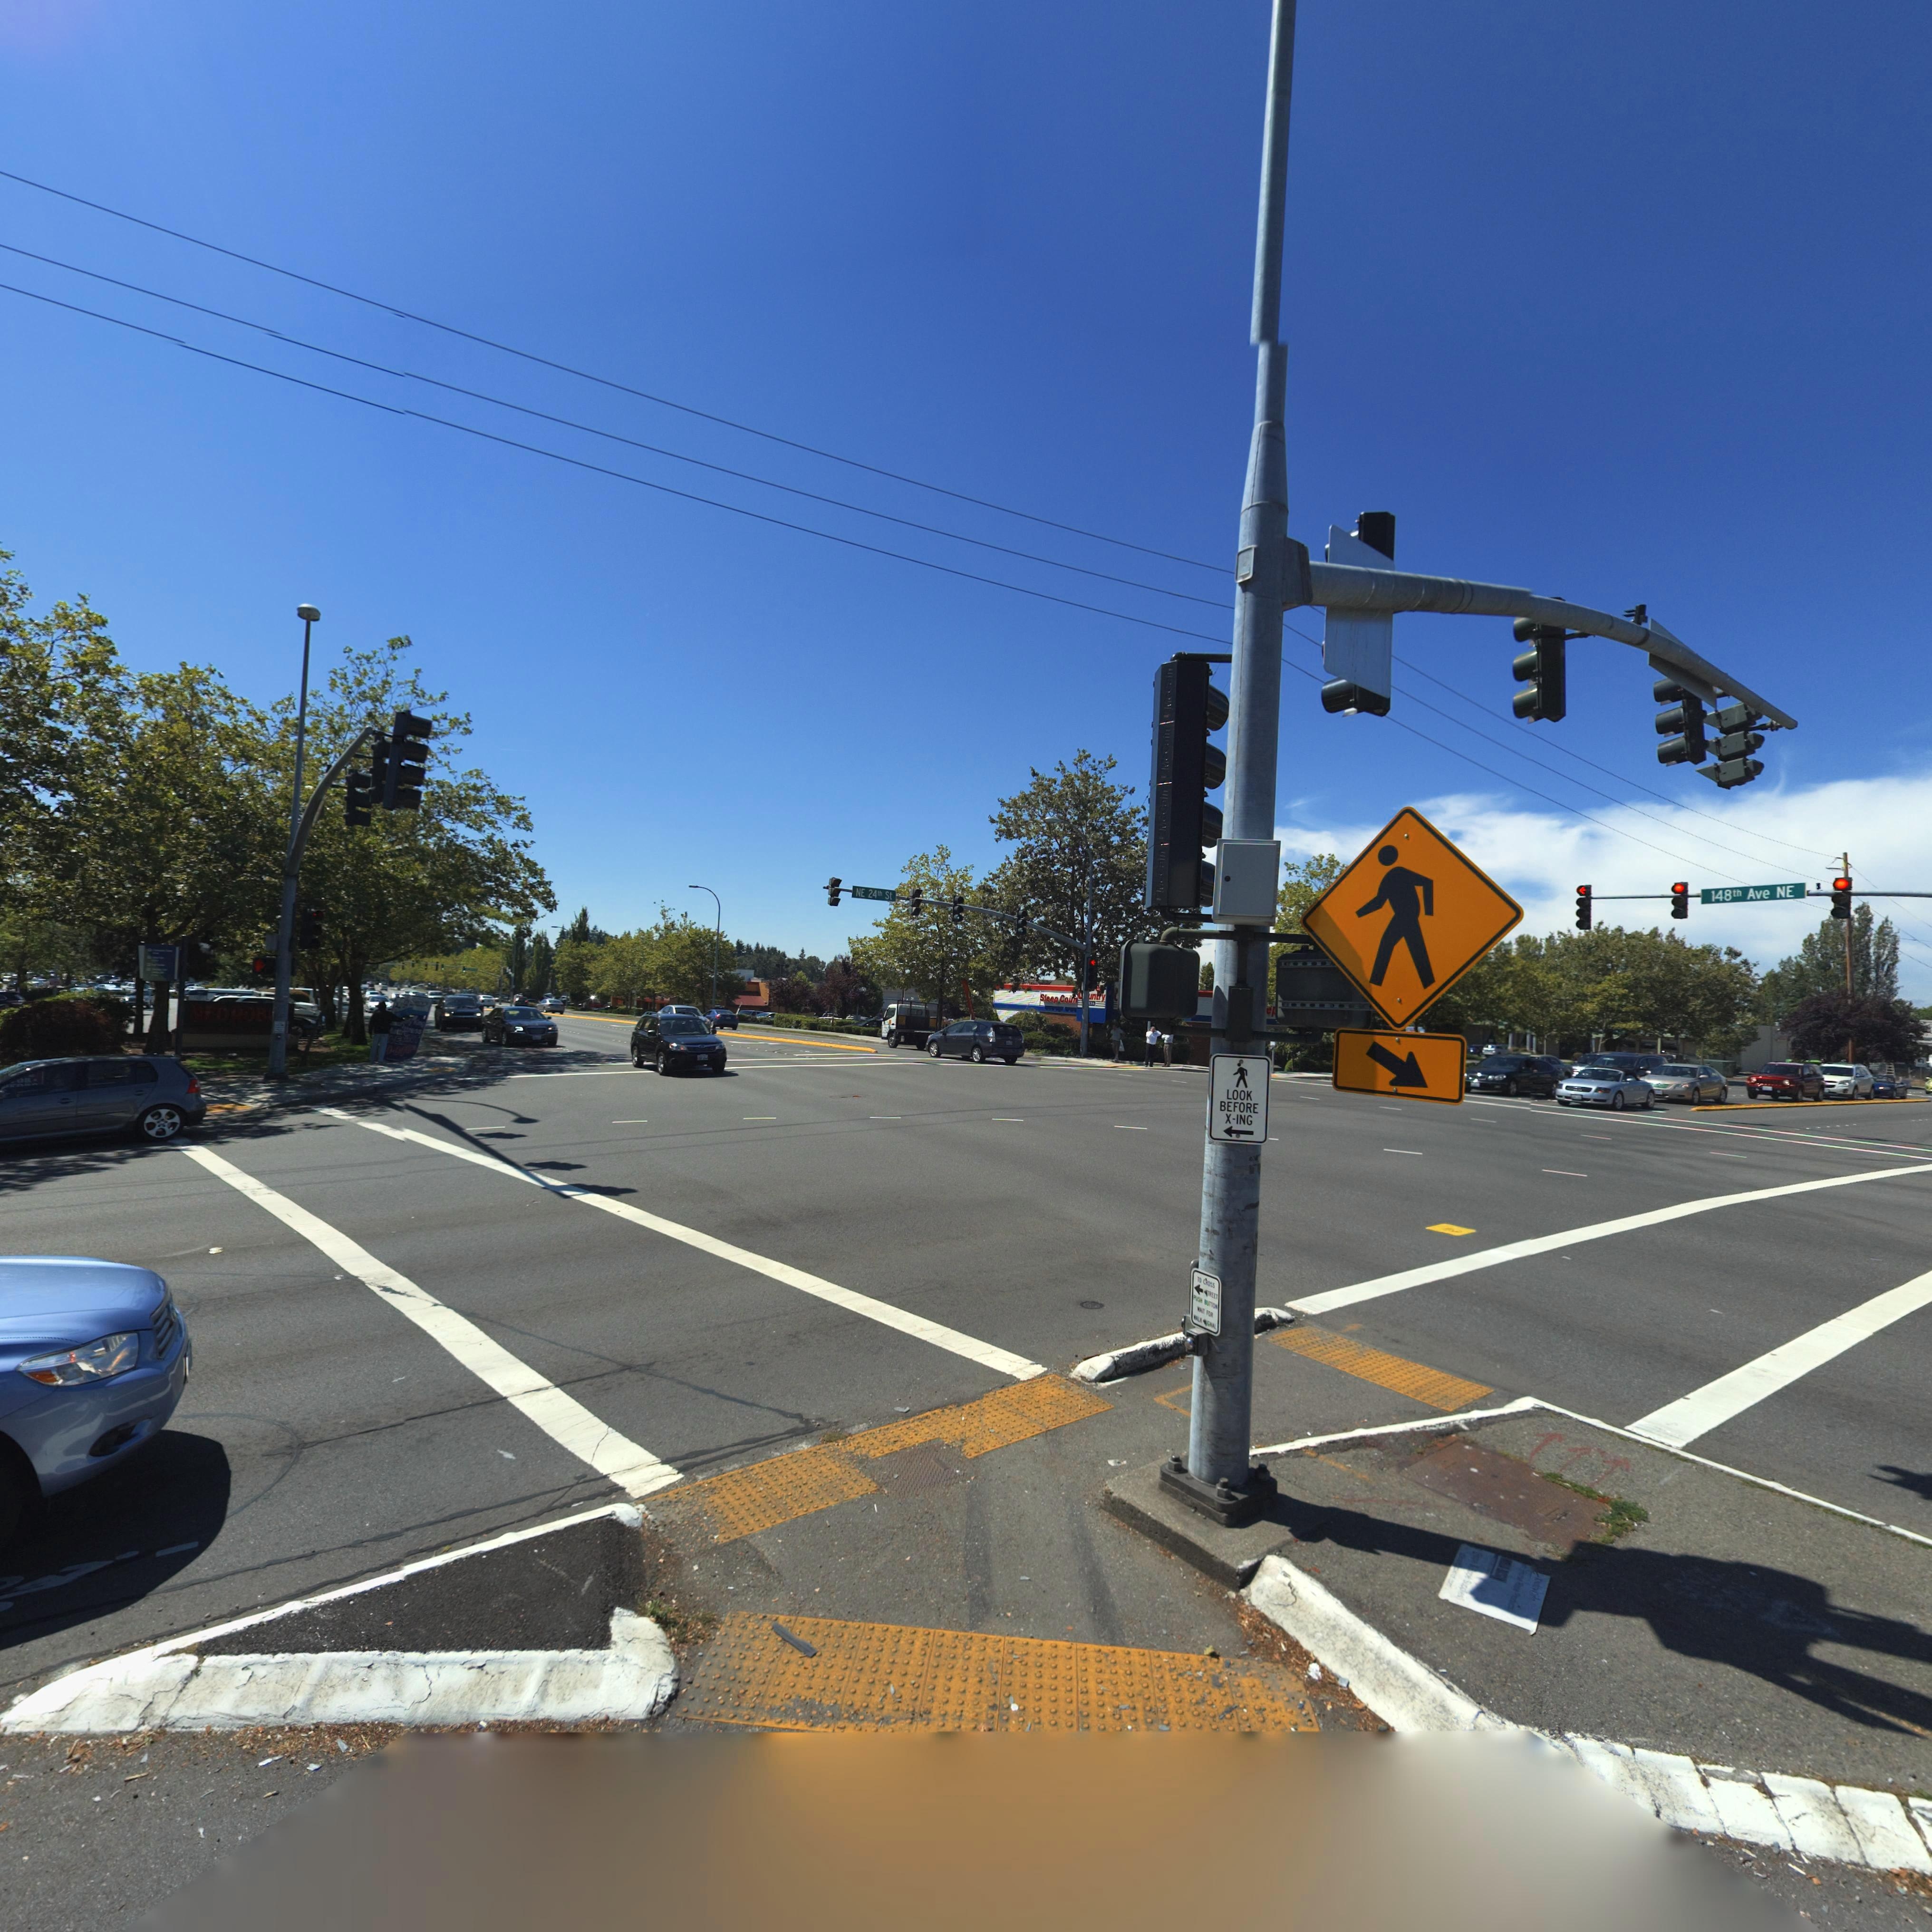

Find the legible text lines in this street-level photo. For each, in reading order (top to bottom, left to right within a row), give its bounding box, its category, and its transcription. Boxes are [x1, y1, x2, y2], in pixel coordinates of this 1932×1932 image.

[855, 887, 892, 899] StreetName: NE 24th St
[1711, 885, 1794, 901] StreetName: 148th Ave NE
[1040, 993, 1073, 1004] BusinessName: Sleep Cou